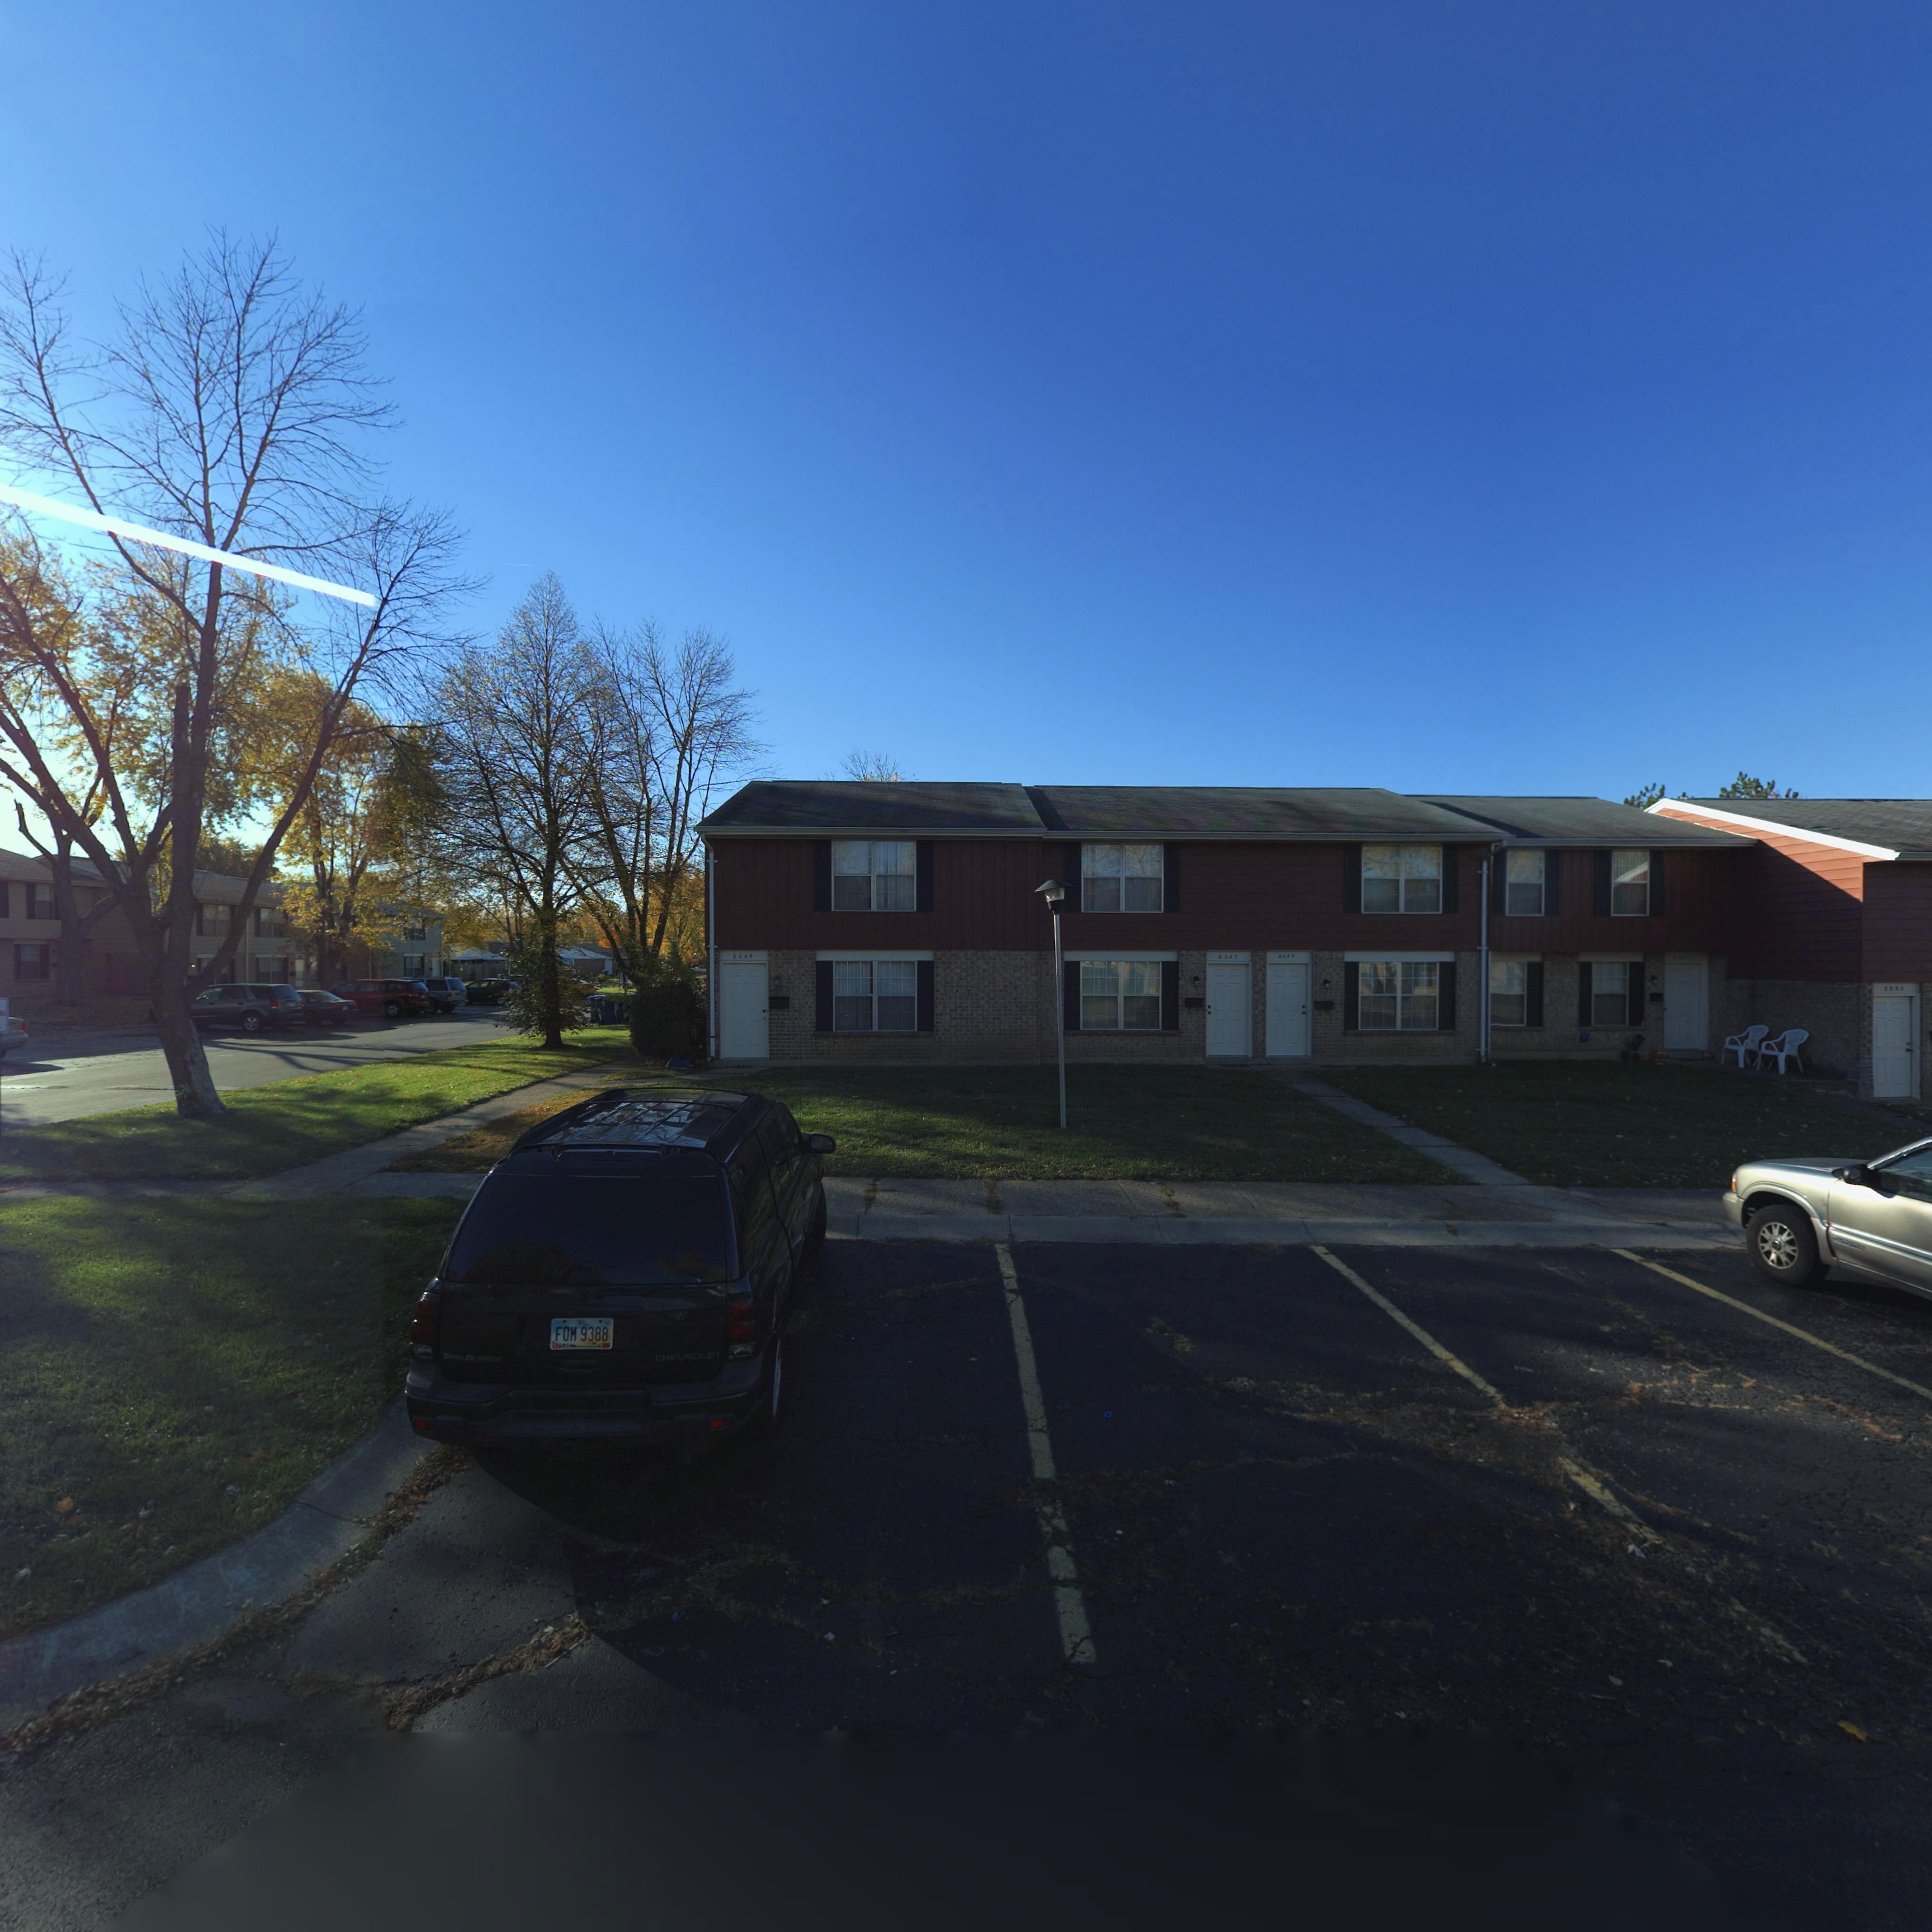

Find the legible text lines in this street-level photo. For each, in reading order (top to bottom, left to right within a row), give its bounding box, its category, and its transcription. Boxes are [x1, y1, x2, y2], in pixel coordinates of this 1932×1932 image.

[732, 953, 754, 960] StreetNumber: 8045
[1217, 953, 1239, 961] StreetNumber: 8047
[1277, 952, 1296, 960] StreetNumber: 8049
[552, 1325, 611, 1346] None: FOM 9388